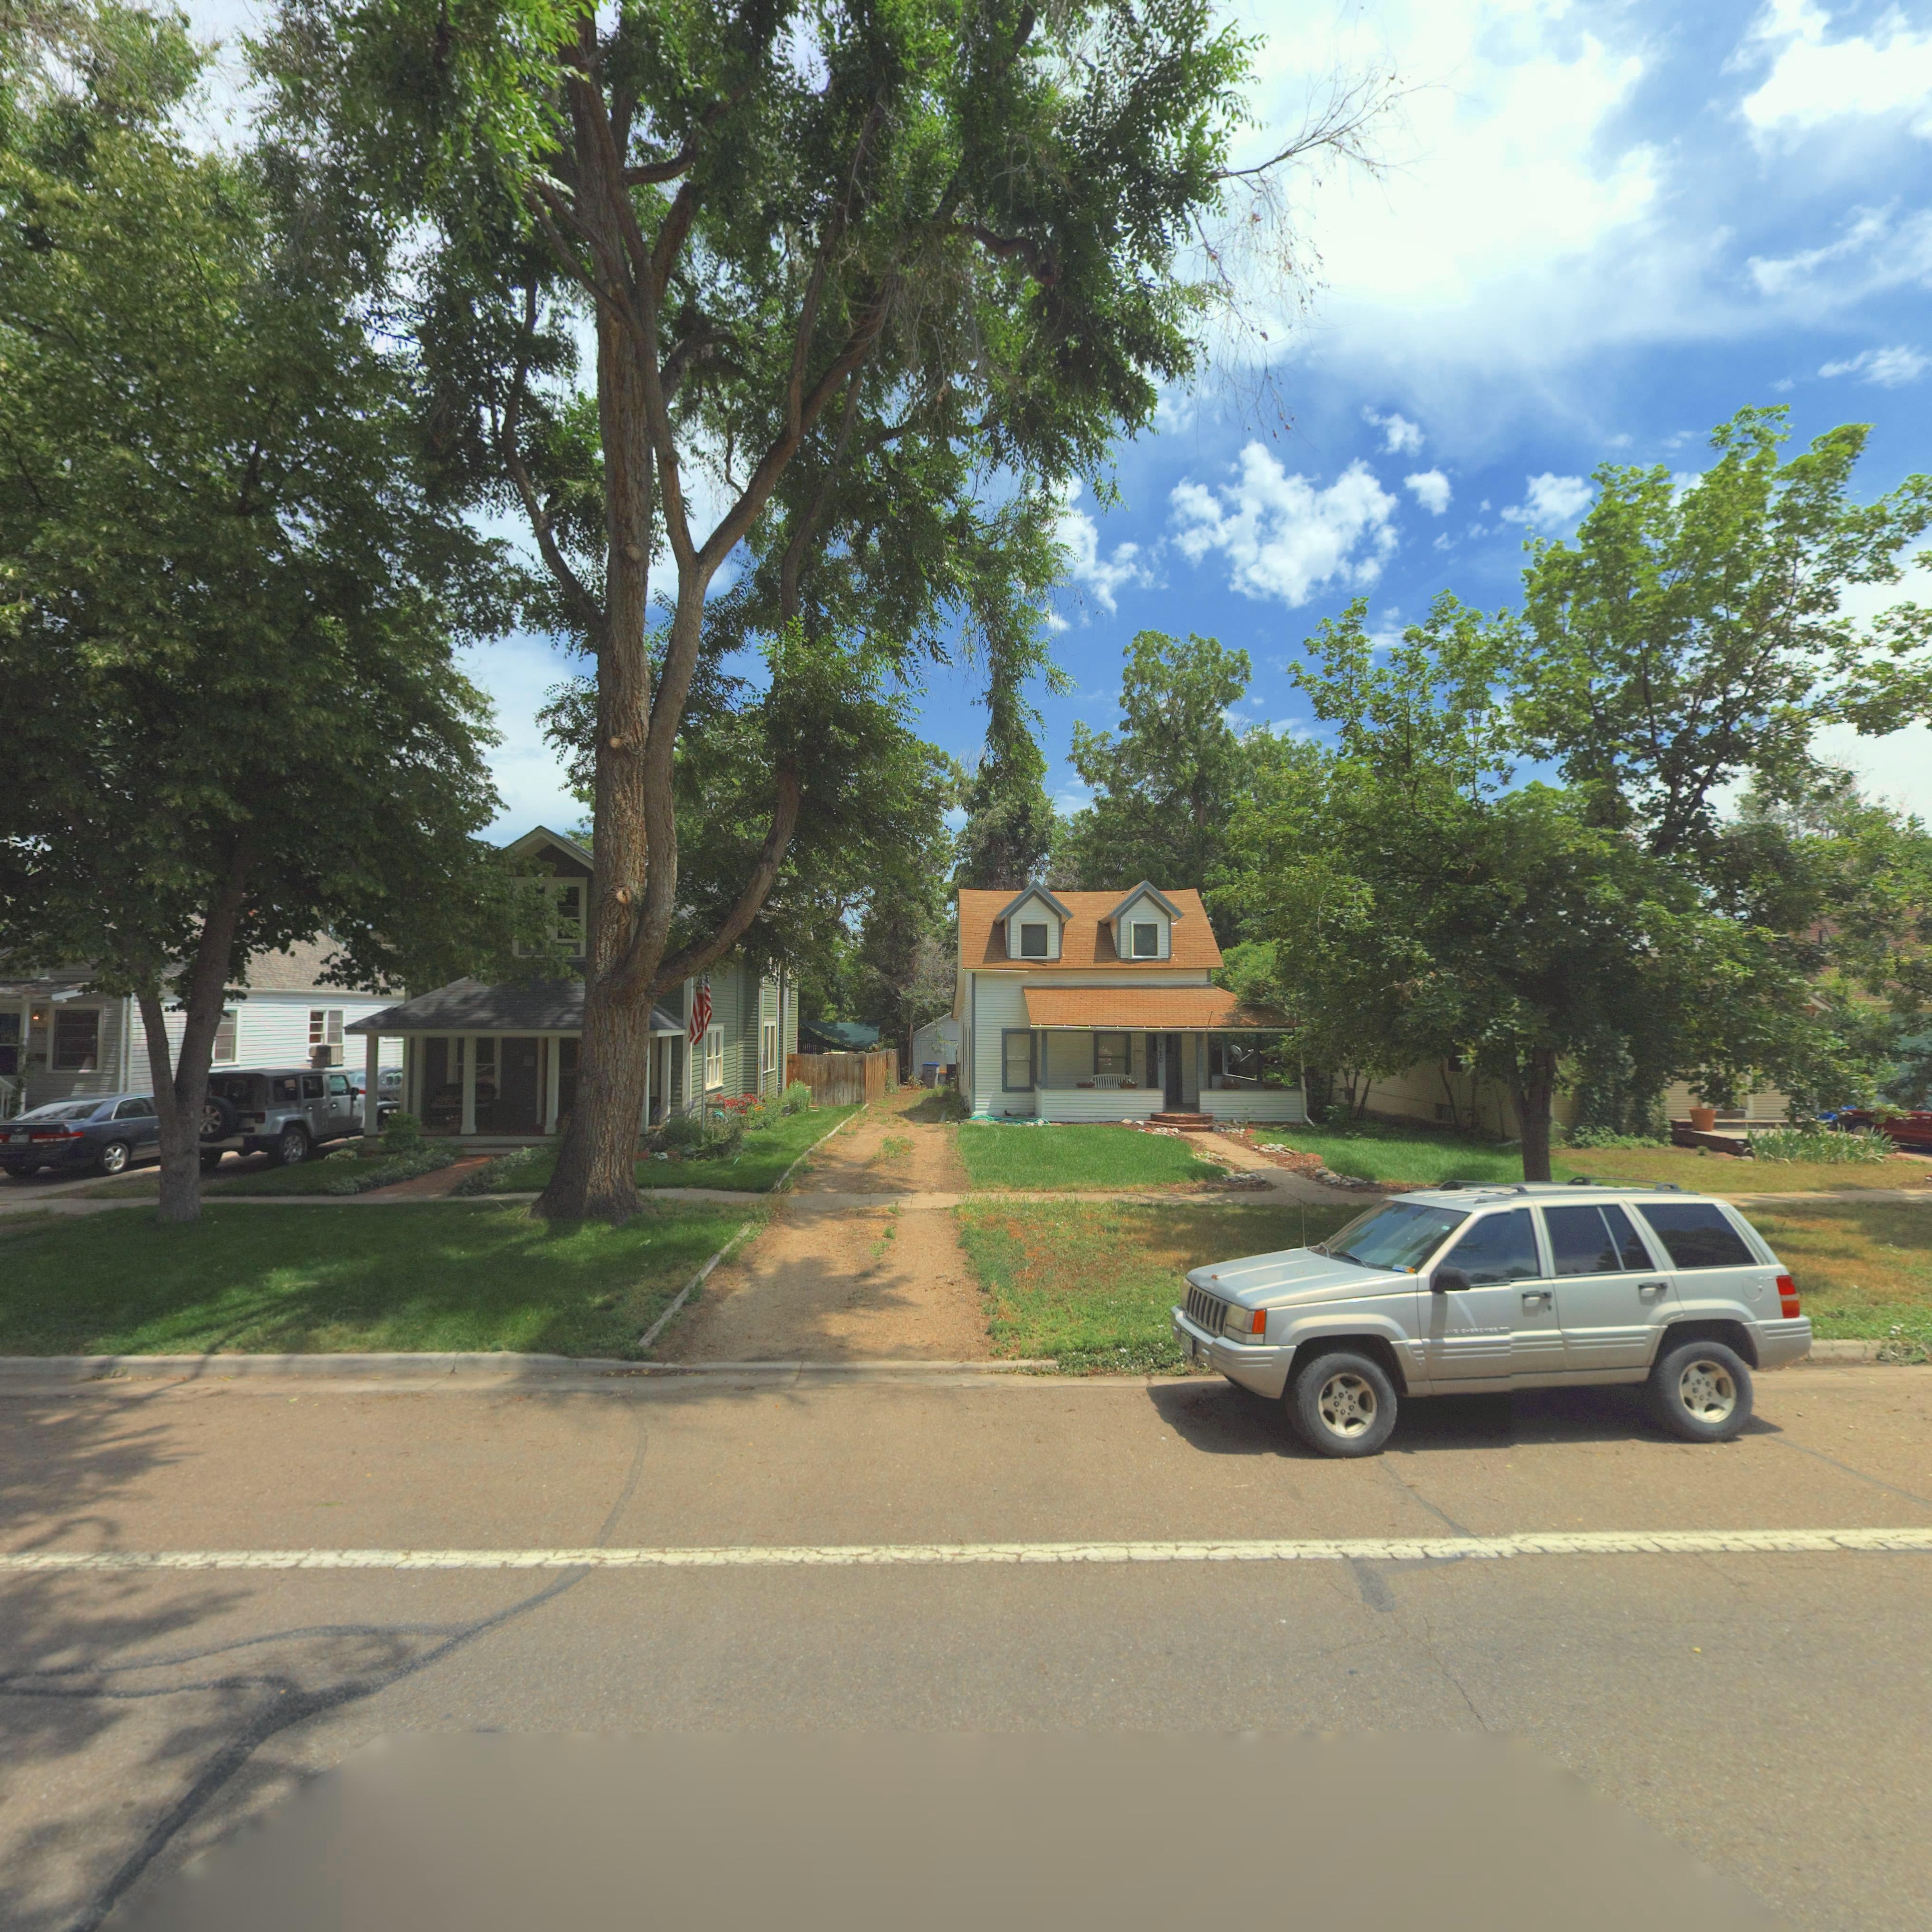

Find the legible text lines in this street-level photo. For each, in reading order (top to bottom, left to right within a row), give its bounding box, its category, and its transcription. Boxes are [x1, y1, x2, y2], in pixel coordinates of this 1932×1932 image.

[31, 1027, 47, 1035] StreetNumber: *25
[1158, 1042, 1163, 1063] StreetNumber: 720